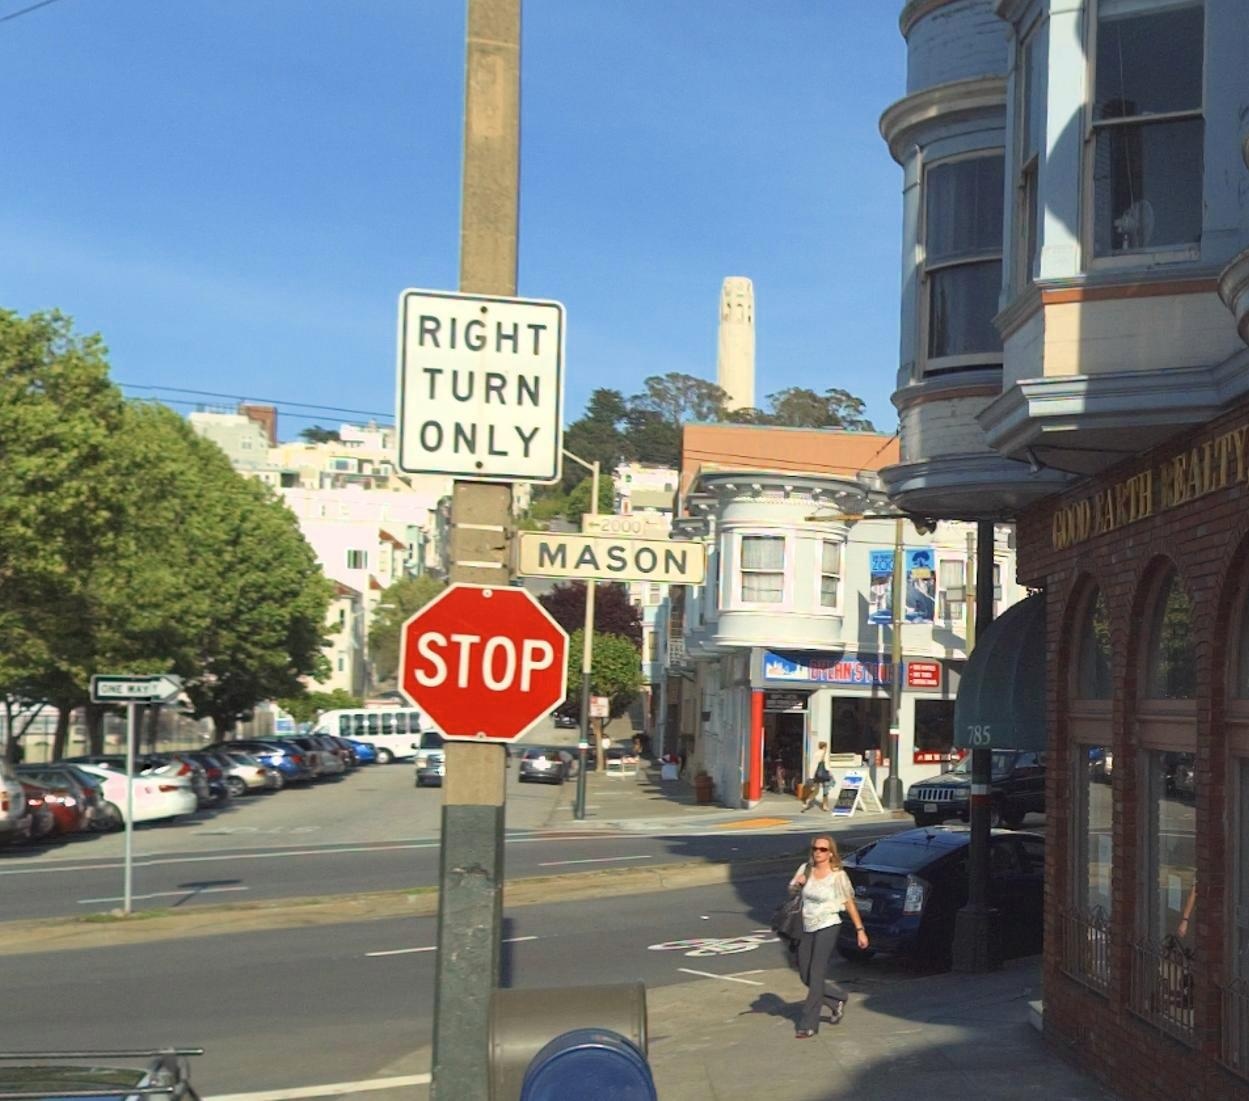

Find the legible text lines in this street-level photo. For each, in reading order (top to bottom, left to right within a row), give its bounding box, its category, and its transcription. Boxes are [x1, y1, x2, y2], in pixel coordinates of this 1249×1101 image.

[414, 309, 551, 360] None: RIGHT
[418, 363, 546, 411] None: TURN
[416, 416, 546, 462] None: ONLY
[1047, 421, 1248, 557] BusinessName: GOOD EARTH REALY
[584, 515, 644, 537] StreetNumberRange: <-2000
[534, 538, 692, 578] StreetName: MASON
[97, 680, 151, 696] None: ONE WAY
[410, 625, 558, 698] None: STOP
[807, 655, 881, 686] BusinessName: DYLAN STO
[963, 723, 994, 748] StreetNumber: 785